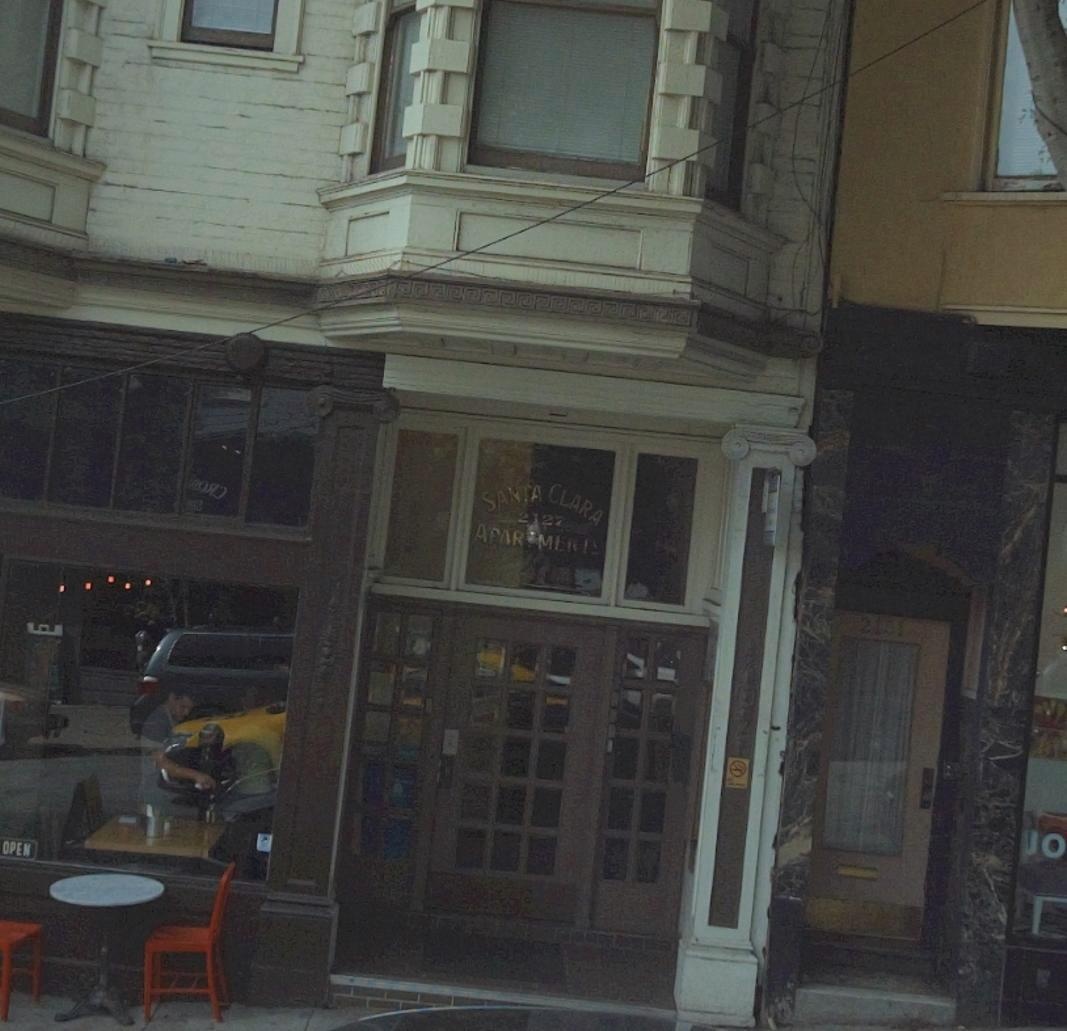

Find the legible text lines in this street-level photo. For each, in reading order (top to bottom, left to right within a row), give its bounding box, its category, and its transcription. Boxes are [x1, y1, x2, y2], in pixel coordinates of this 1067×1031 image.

[191, 476, 231, 503] None: O**
[475, 479, 607, 528] BusinessName: SANTA CLARA
[513, 509, 568, 528] StreetNumber: 2127
[469, 520, 604, 562] BusinessName: A*AR*M****
[857, 614, 908, 640] StreetNumber: 21*1
[0, 838, 33, 859] None: OPEN
[1039, 830, 1066, 862] None: O